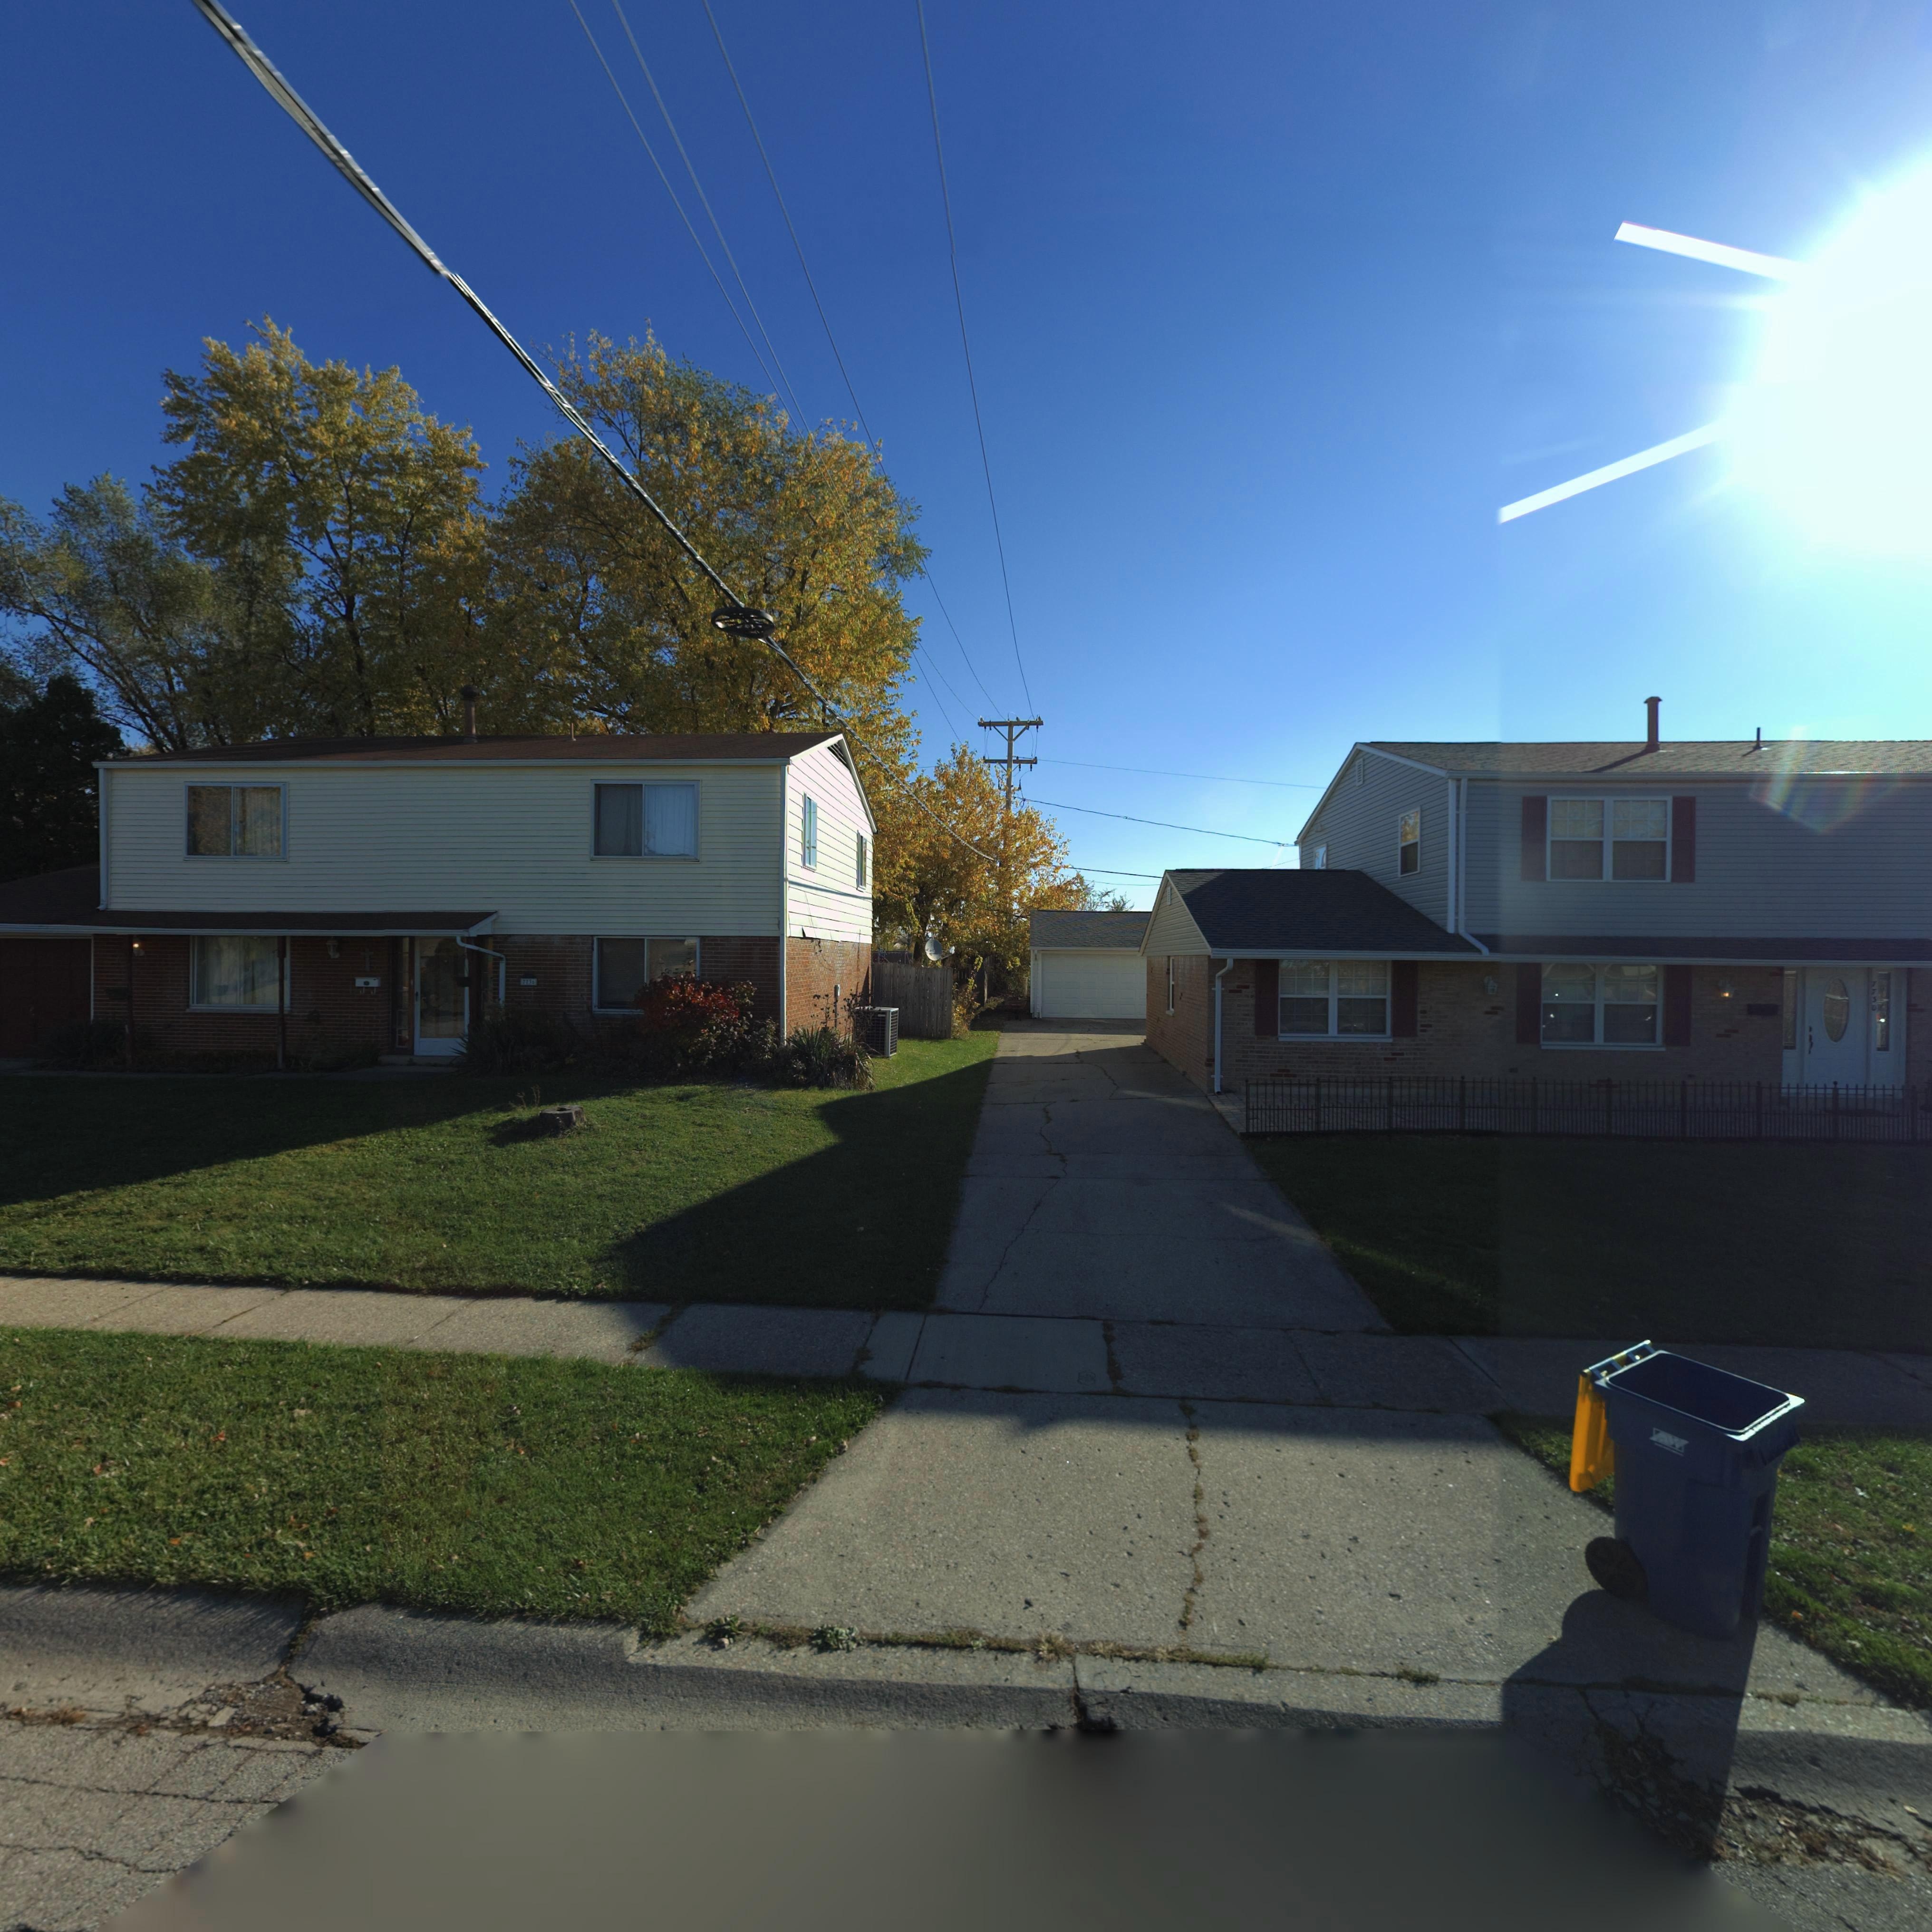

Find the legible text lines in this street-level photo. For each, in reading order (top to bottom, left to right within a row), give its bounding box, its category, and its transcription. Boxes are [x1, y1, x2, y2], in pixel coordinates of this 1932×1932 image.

[522, 979, 536, 985] StreetNumber: 7736
[1871, 980, 1878, 1012] StreetNumber: 7730